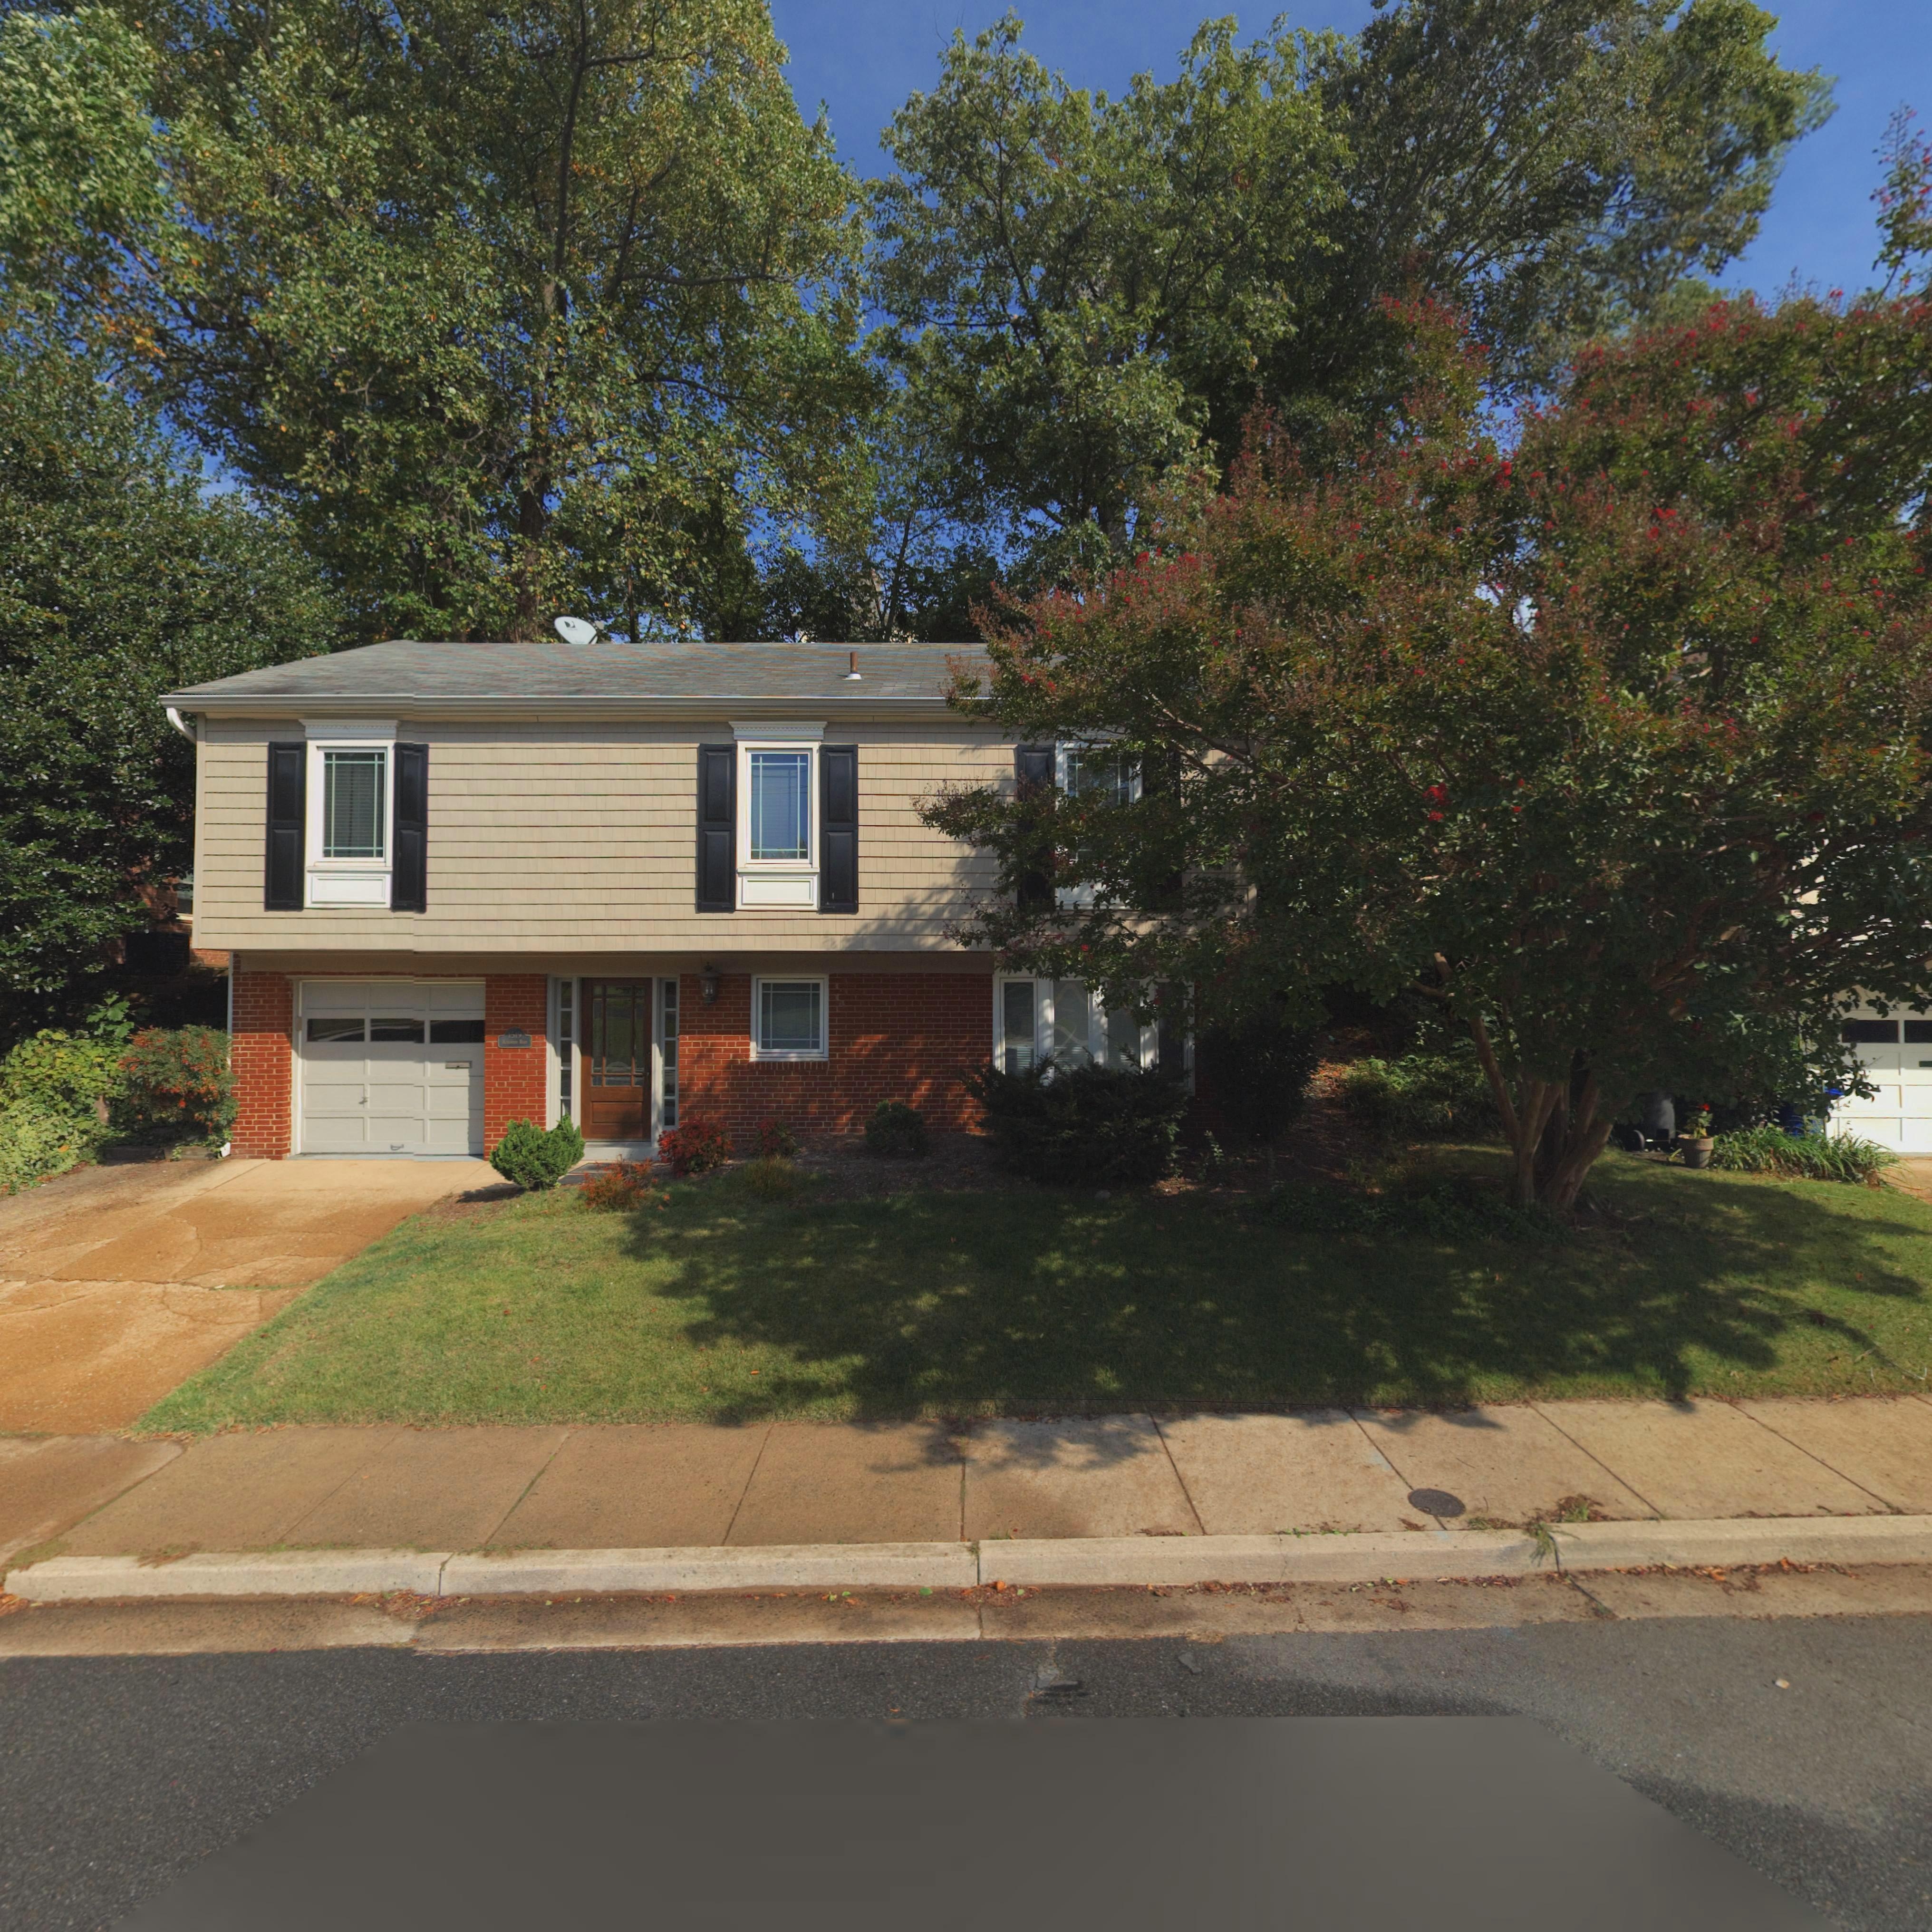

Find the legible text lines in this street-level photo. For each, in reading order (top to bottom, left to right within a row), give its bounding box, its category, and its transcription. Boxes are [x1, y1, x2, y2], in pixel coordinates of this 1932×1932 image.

[507, 1030, 523, 1039] StreetNumber: 1519